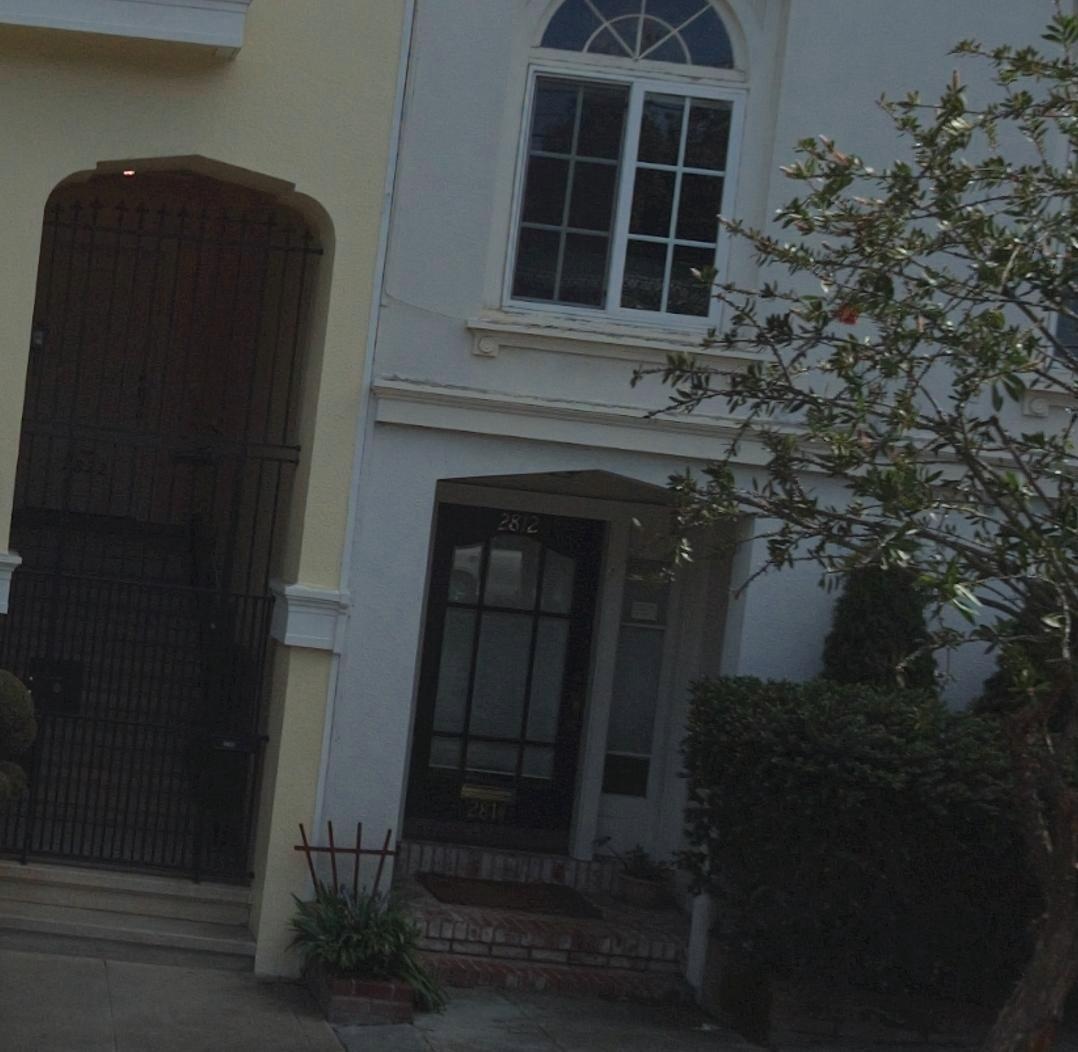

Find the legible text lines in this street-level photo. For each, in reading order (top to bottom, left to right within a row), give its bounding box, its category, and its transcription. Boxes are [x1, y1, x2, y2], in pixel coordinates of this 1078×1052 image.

[494, 511, 541, 536] StreetNumber: 2812
[462, 796, 500, 823] StreetNumber: 281